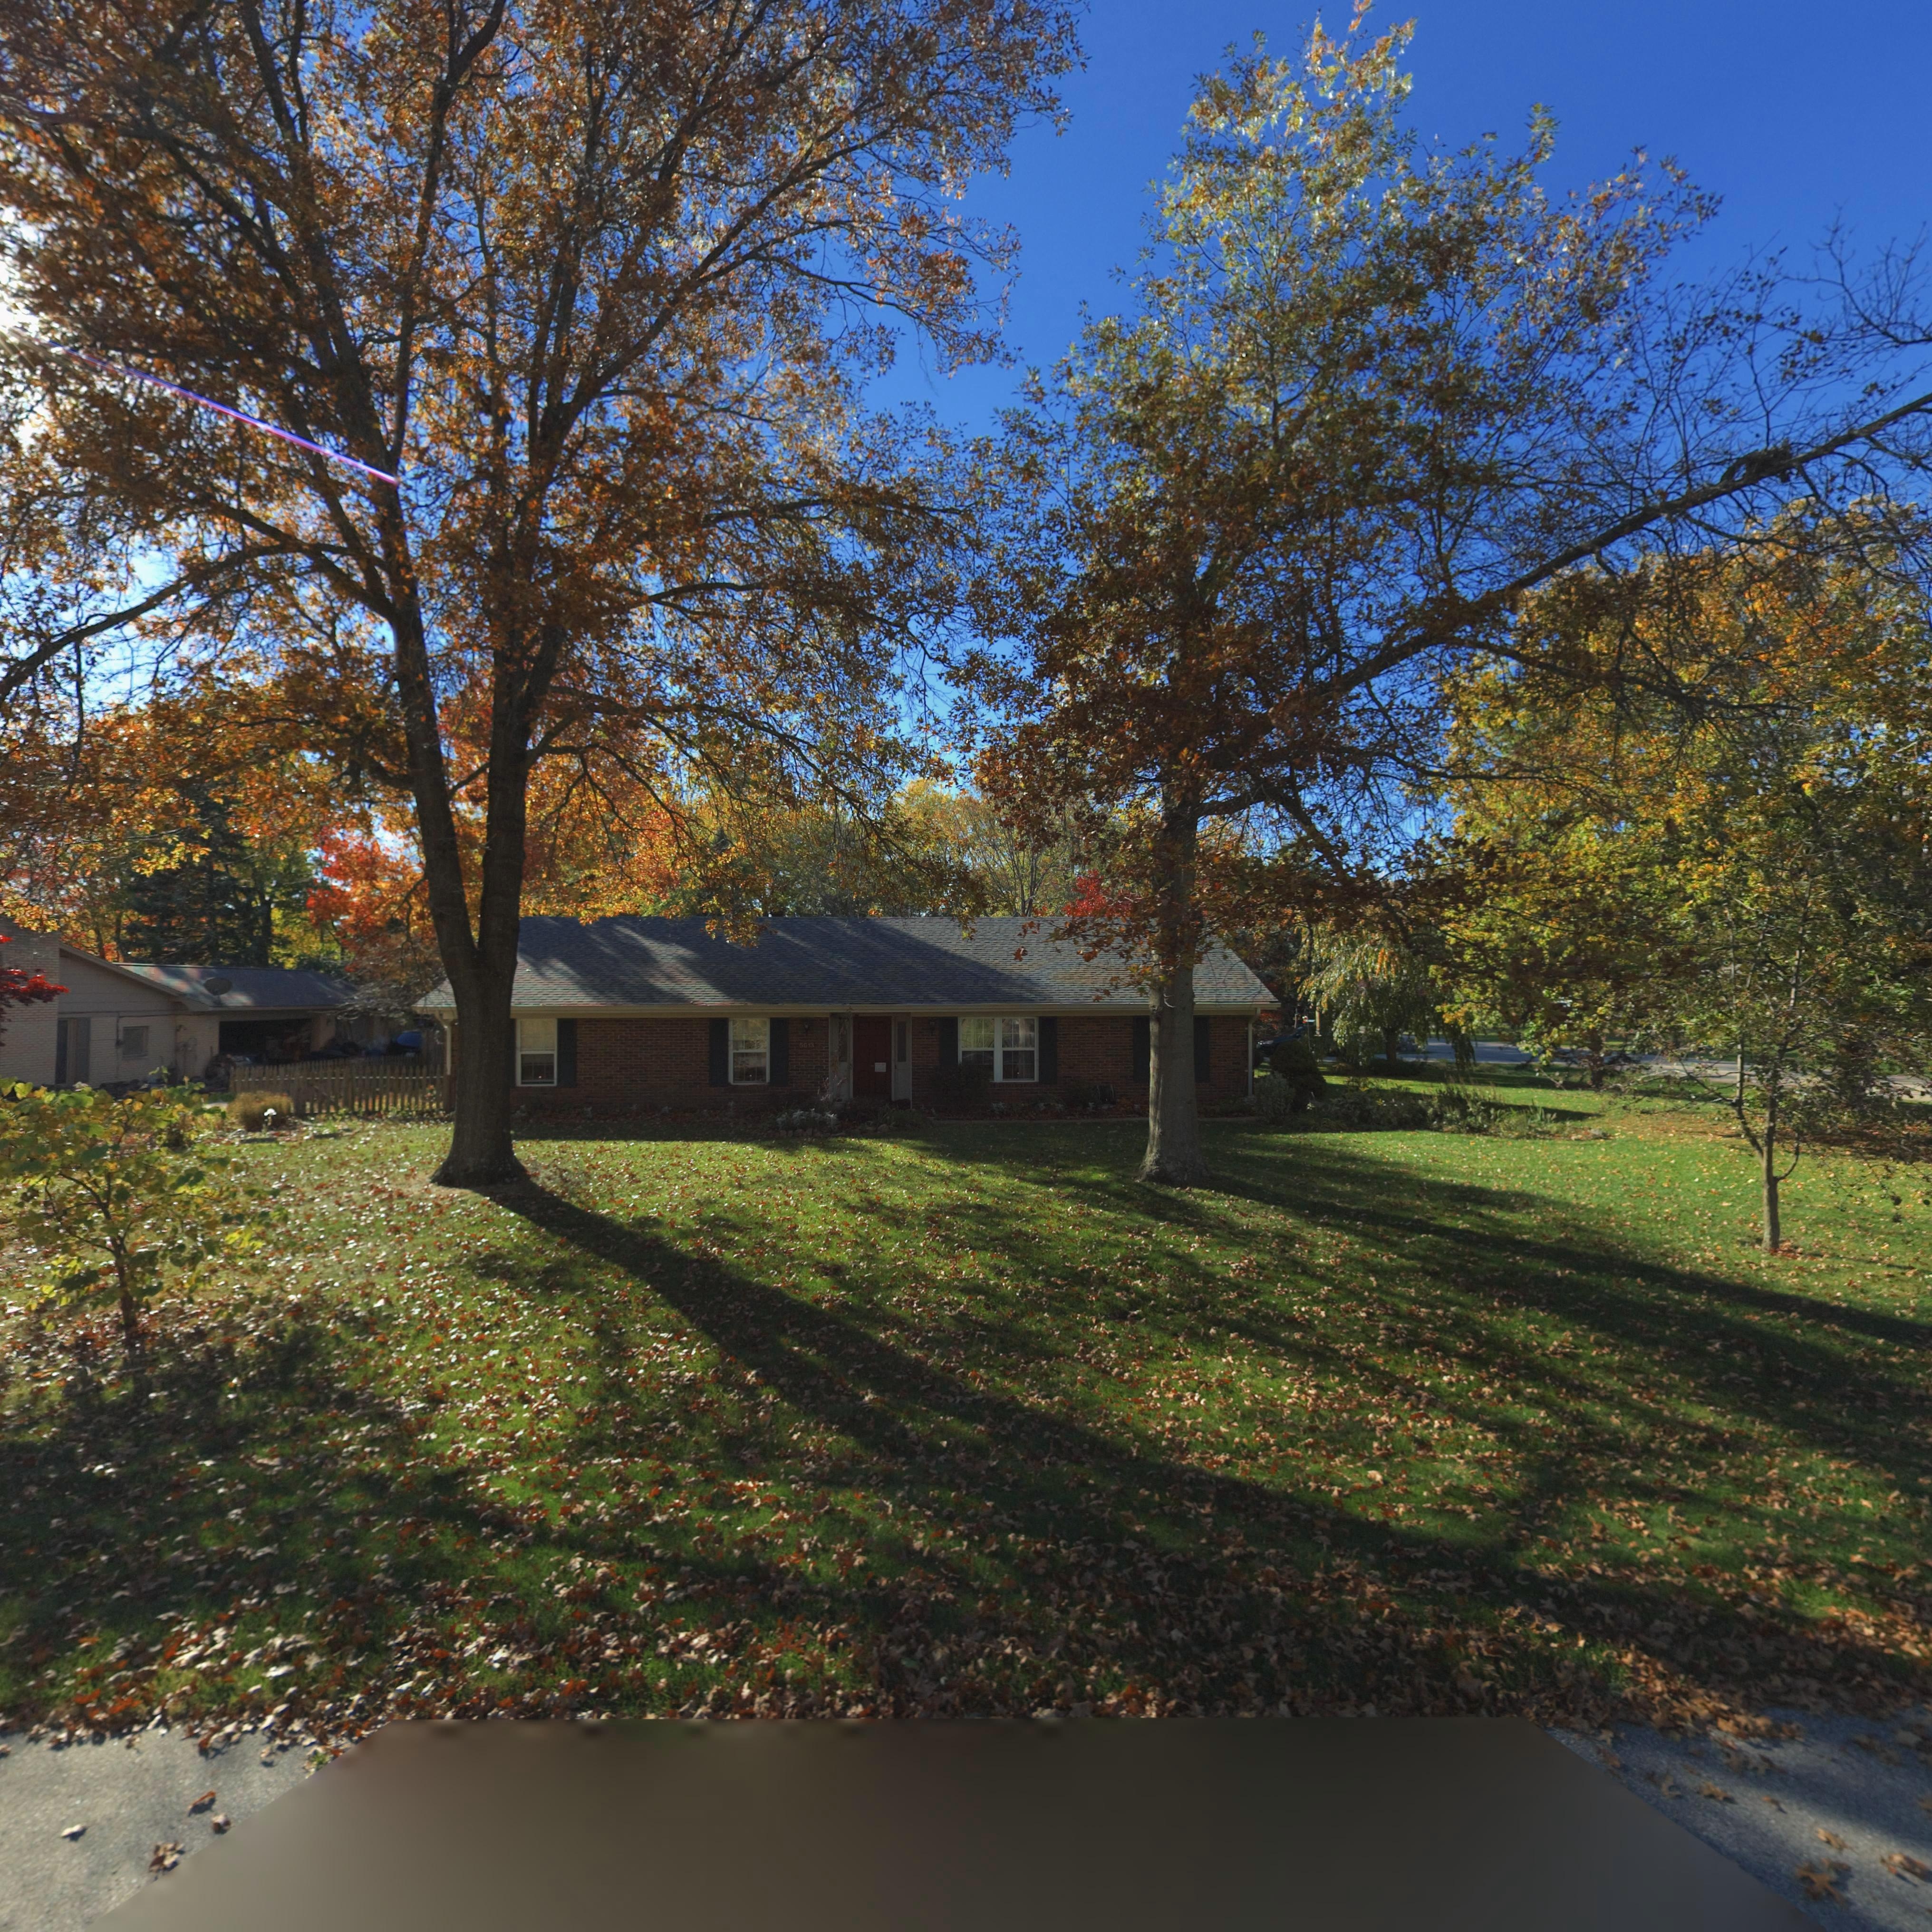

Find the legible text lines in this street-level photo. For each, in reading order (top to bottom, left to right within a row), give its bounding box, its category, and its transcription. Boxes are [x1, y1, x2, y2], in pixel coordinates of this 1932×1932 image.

[799, 1042, 815, 1048] StreetNumber: 5613